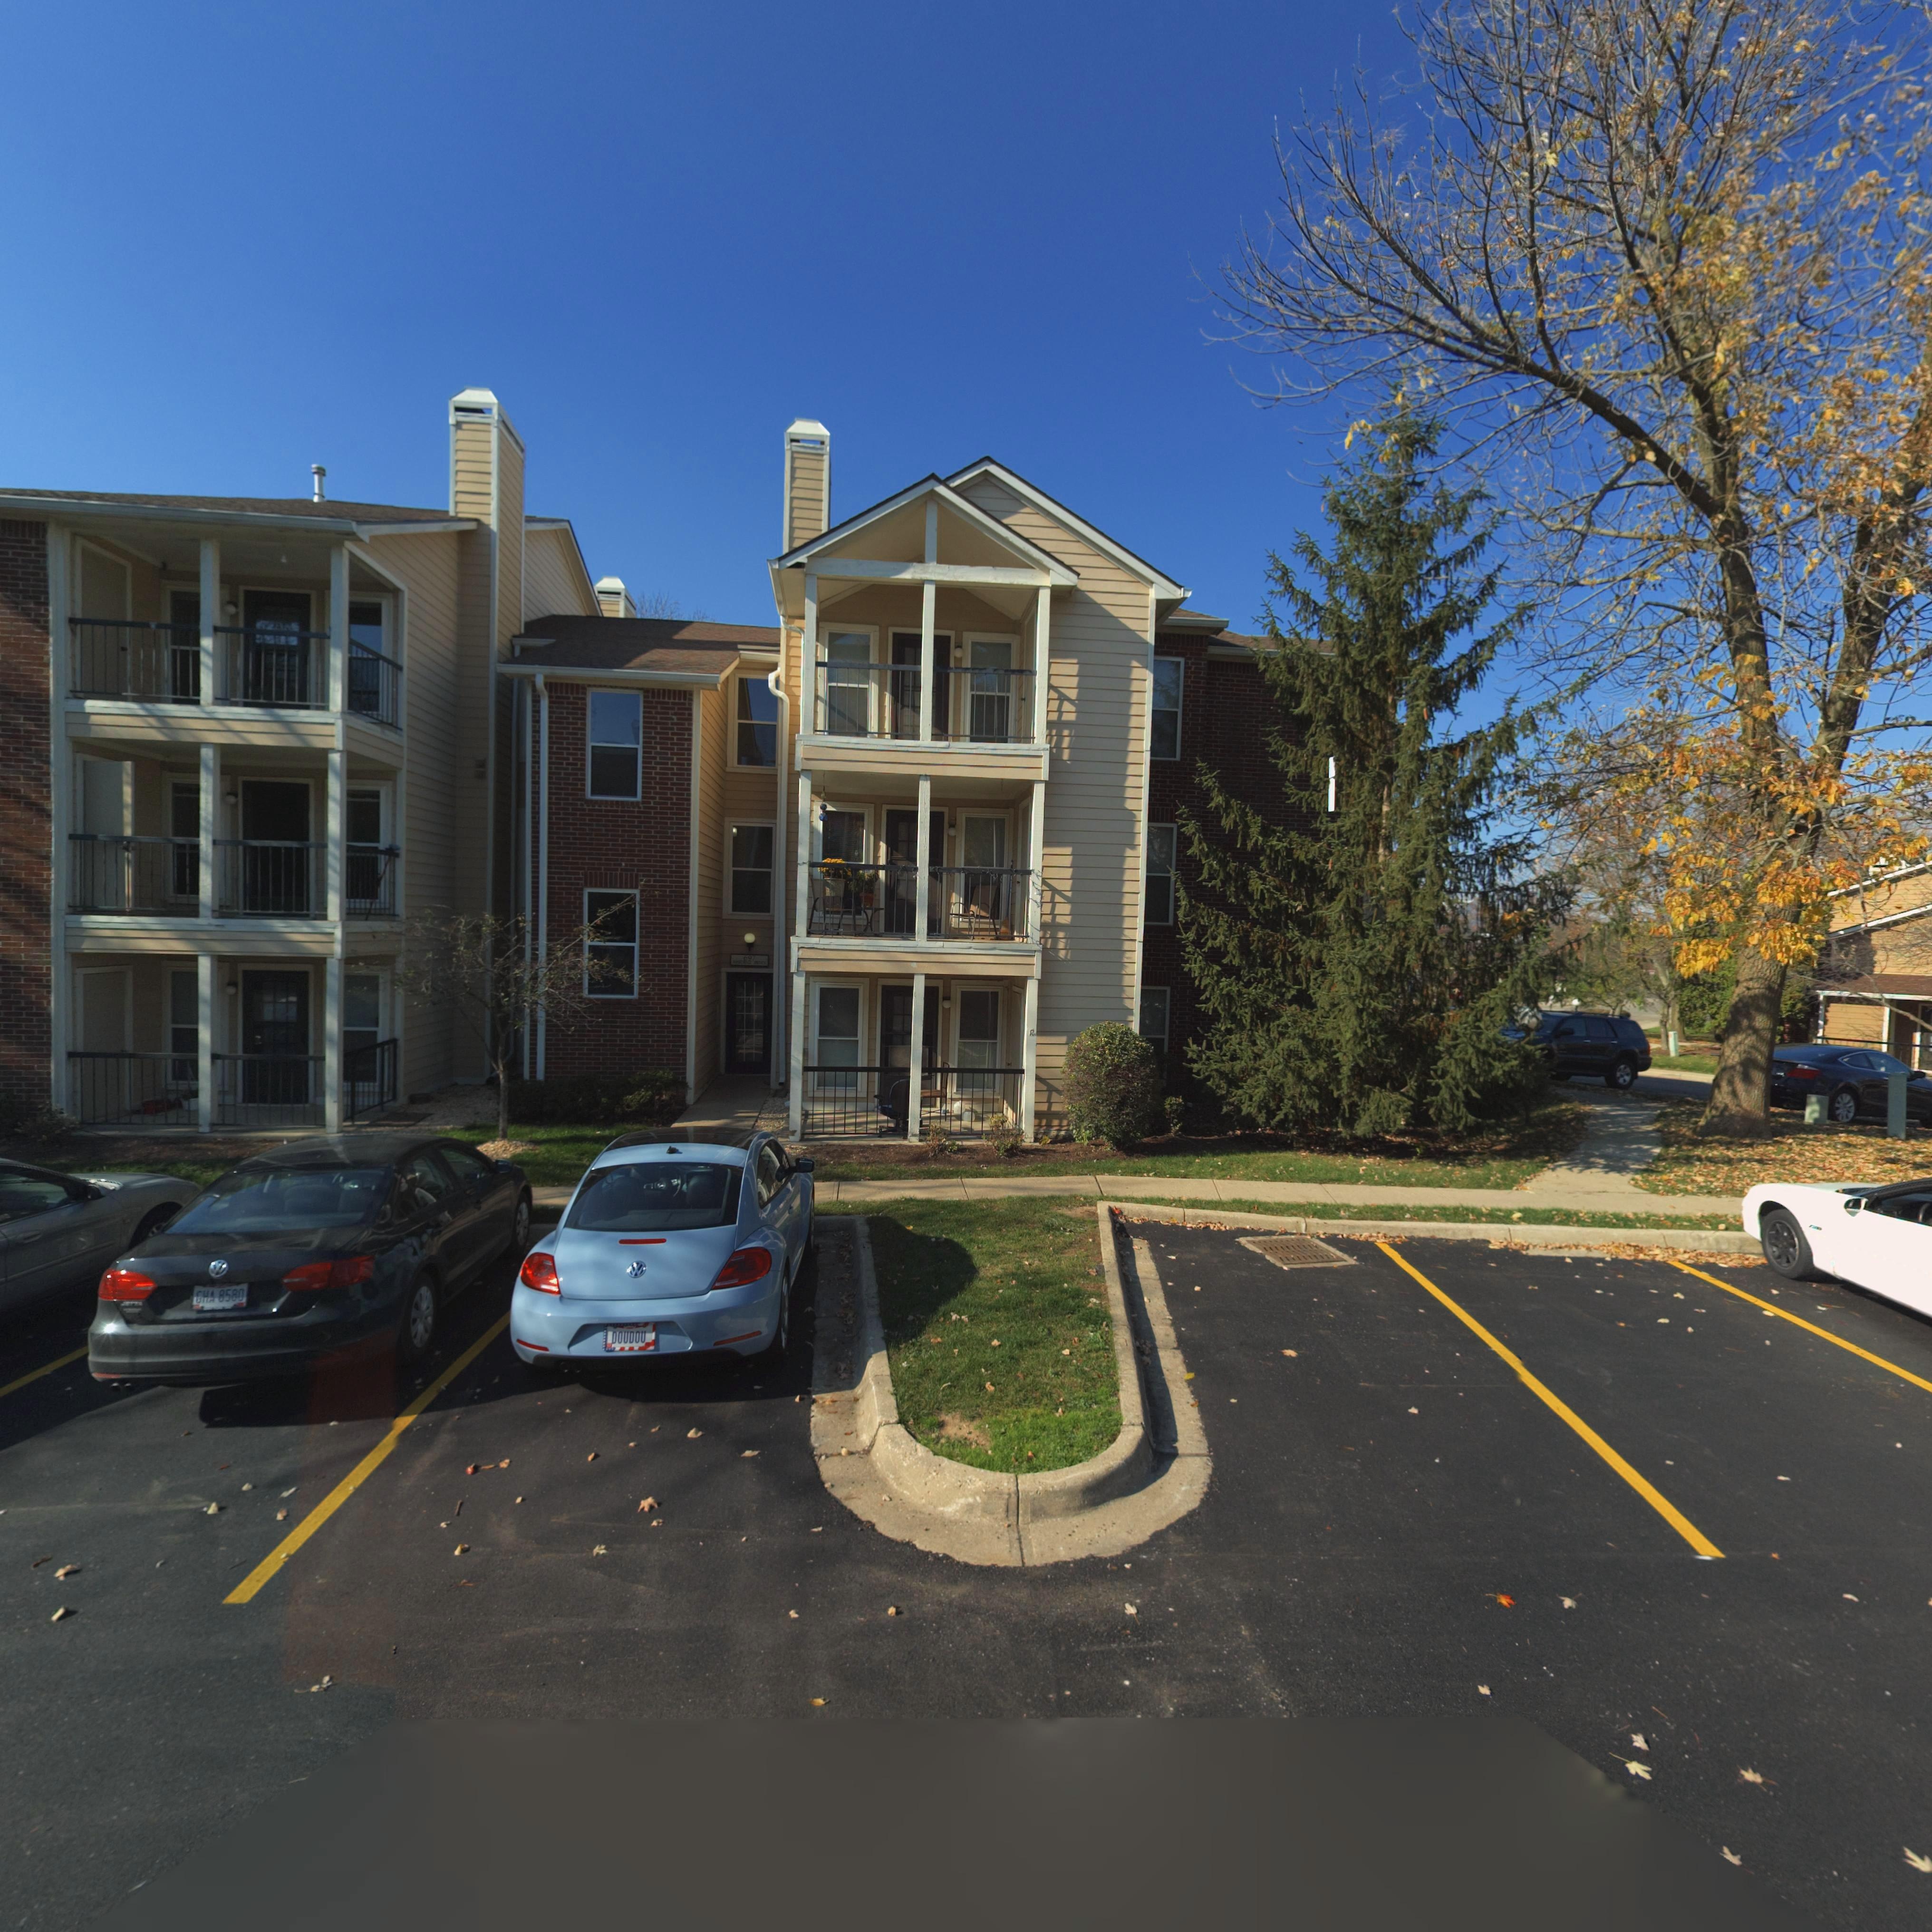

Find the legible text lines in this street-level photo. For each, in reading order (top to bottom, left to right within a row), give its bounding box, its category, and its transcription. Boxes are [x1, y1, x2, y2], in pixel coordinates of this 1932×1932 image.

[742, 954, 757, 961] StreetNumber: 697
[194, 1287, 246, 1304] None: GHA 8580
[610, 1330, 647, 1345] None: DOUDOU